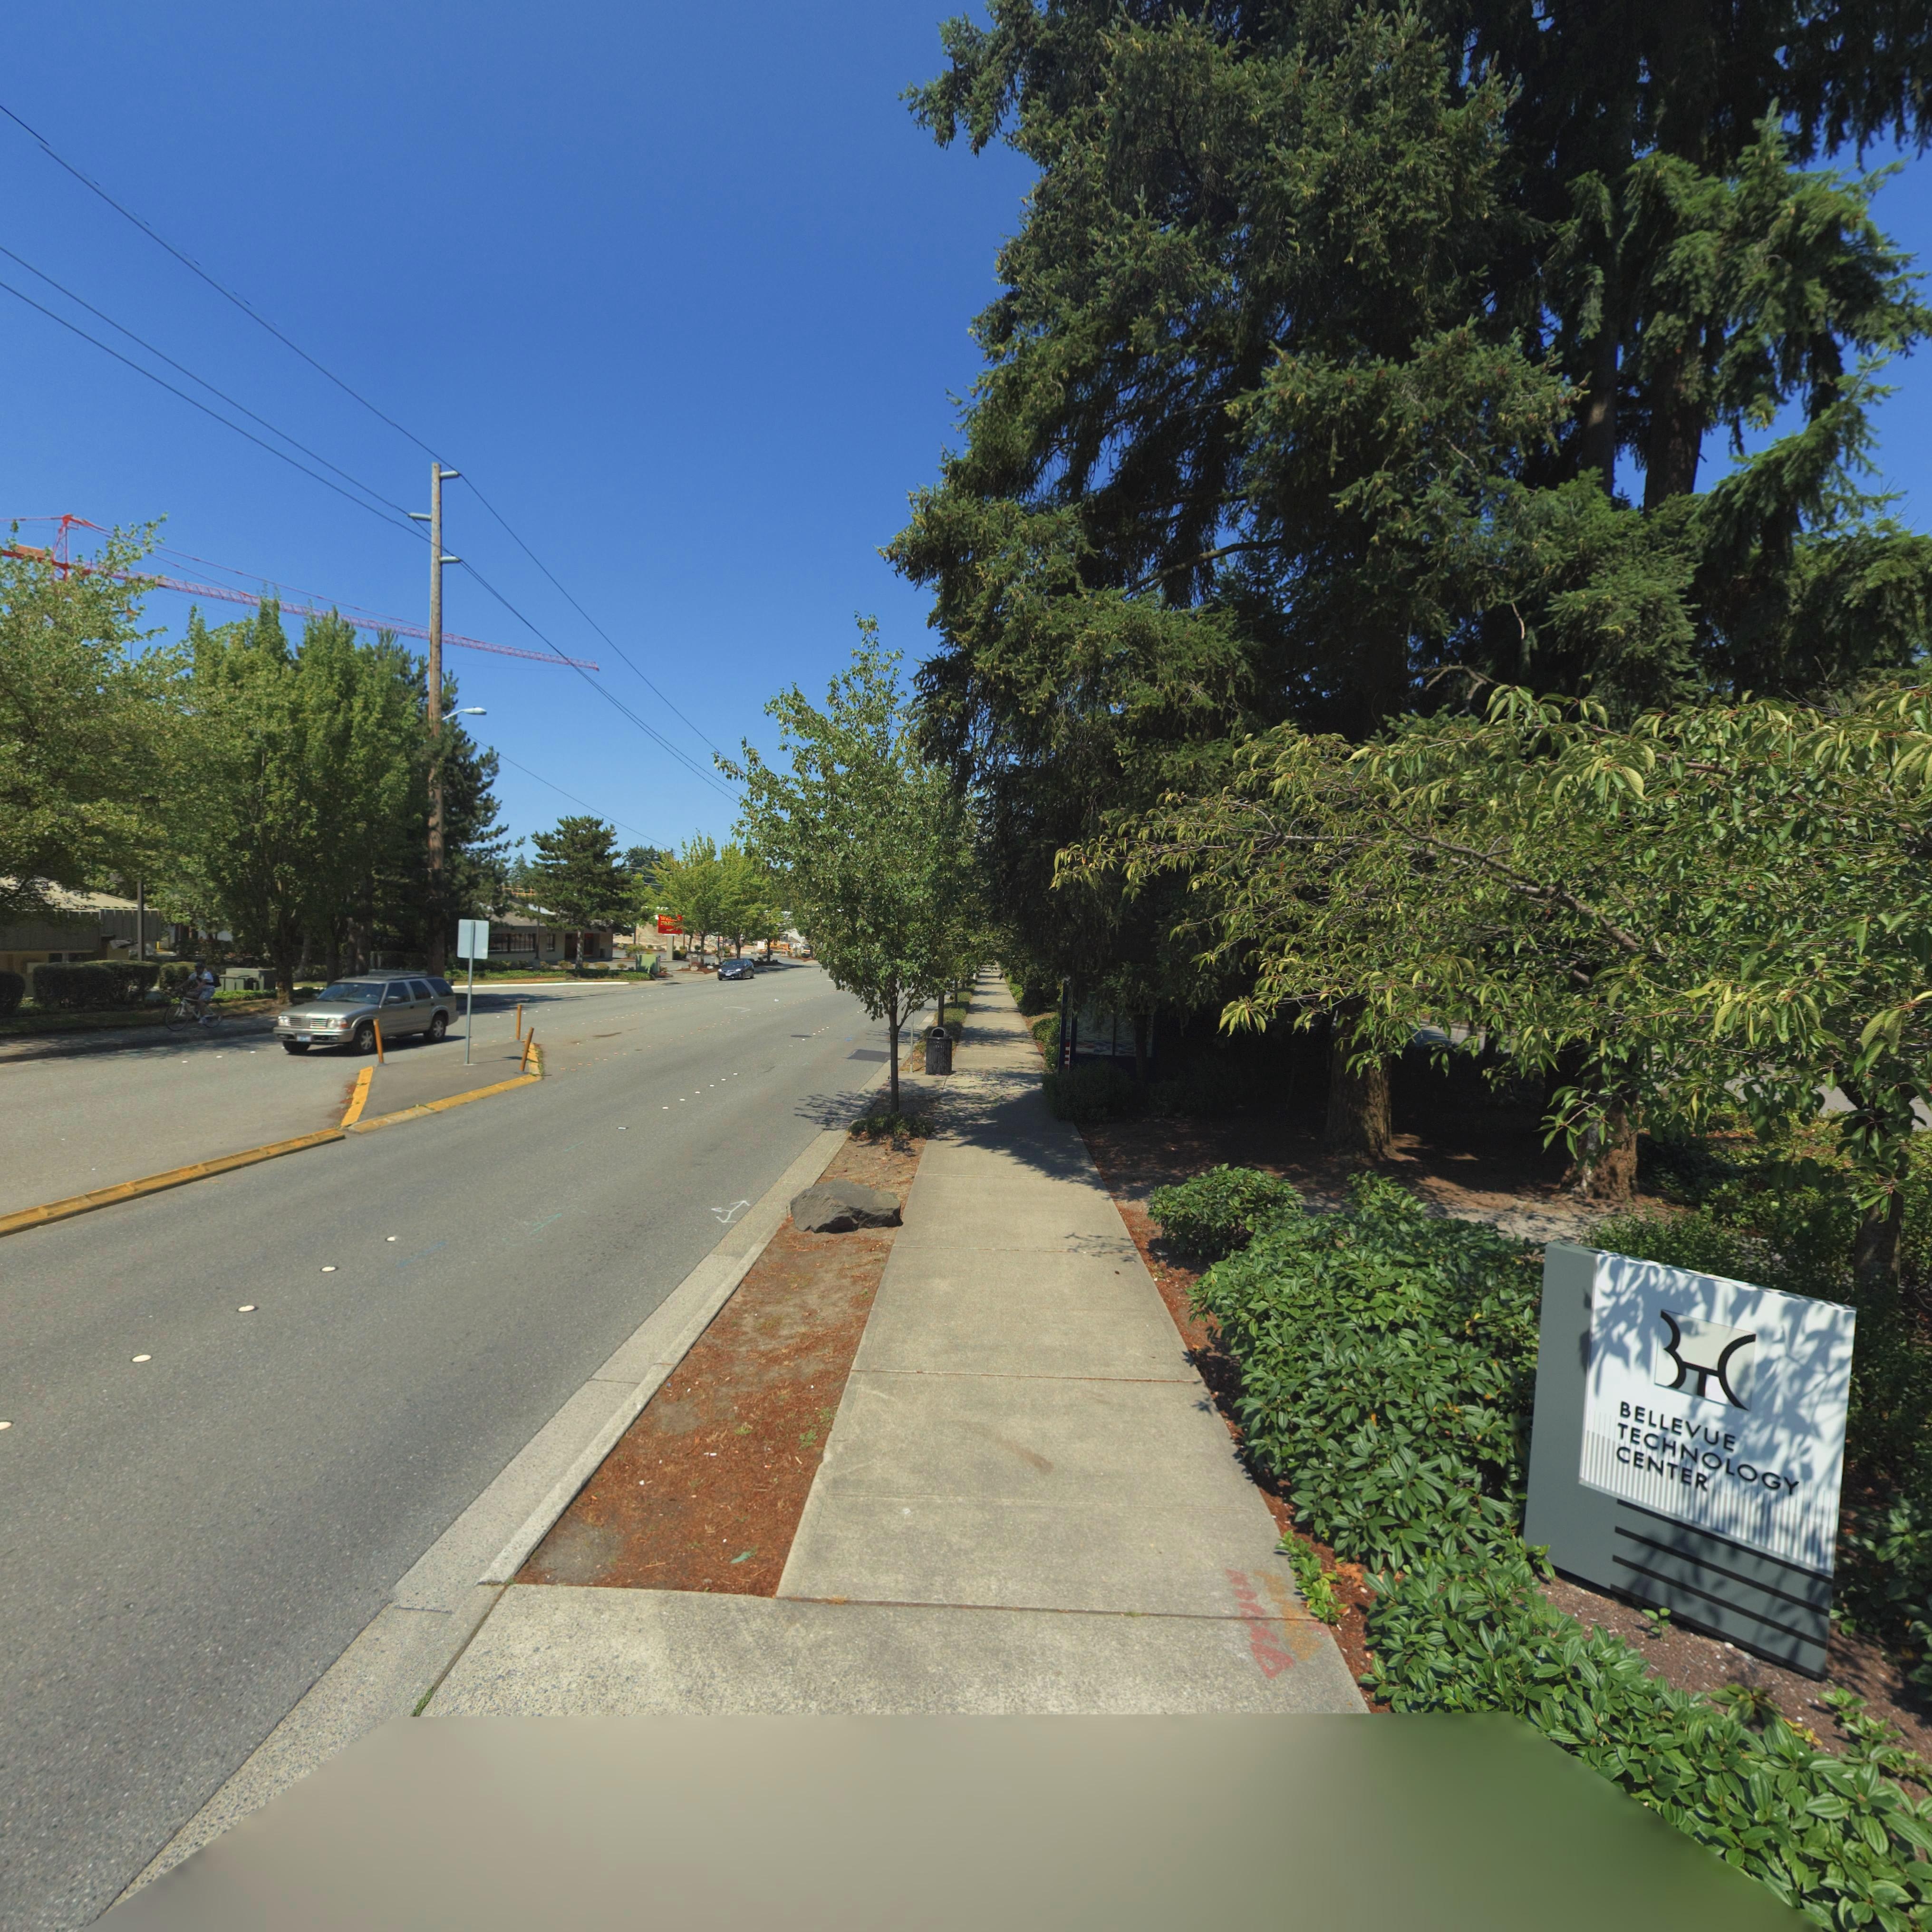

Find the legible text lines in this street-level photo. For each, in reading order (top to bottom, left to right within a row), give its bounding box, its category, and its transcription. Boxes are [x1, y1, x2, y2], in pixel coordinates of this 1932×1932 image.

[1620, 1399, 1737, 1453] BusinessName: BELLEVUE
[1615, 1442, 1710, 1494] BusinessName: CENTER
[1616, 1420, 1803, 1498] BusinessName: TECHNOLOGY